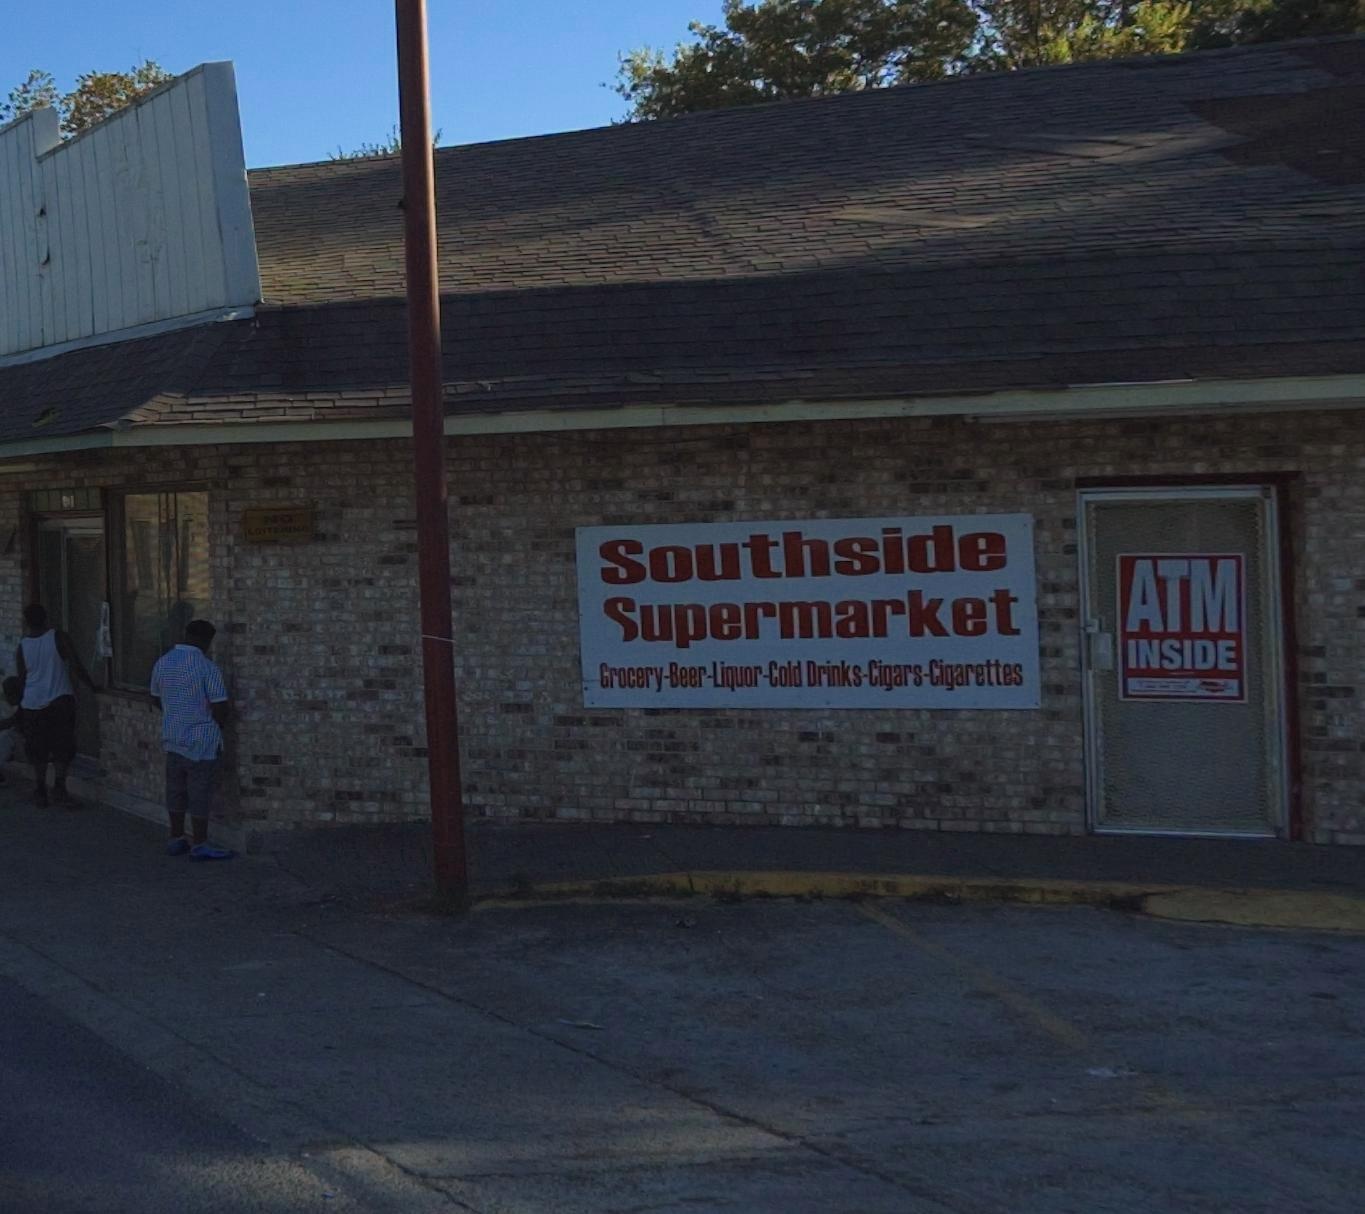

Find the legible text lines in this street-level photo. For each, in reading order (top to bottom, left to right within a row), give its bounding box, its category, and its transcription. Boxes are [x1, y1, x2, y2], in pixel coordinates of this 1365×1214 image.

[258, 513, 296, 525] None: NO
[247, 522, 315, 537] None: LOITERING
[598, 522, 1009, 586] BusinessName: Southside
[1124, 557, 1241, 635] None: ATM
[602, 586, 1021, 650] BusinessName: *upermarket
[1126, 638, 1238, 672] None: INSIDE
[599, 658, 1025, 694] None: Grocery-Beer-Liquor-Cold Drinks-Cigars-Cigarettes